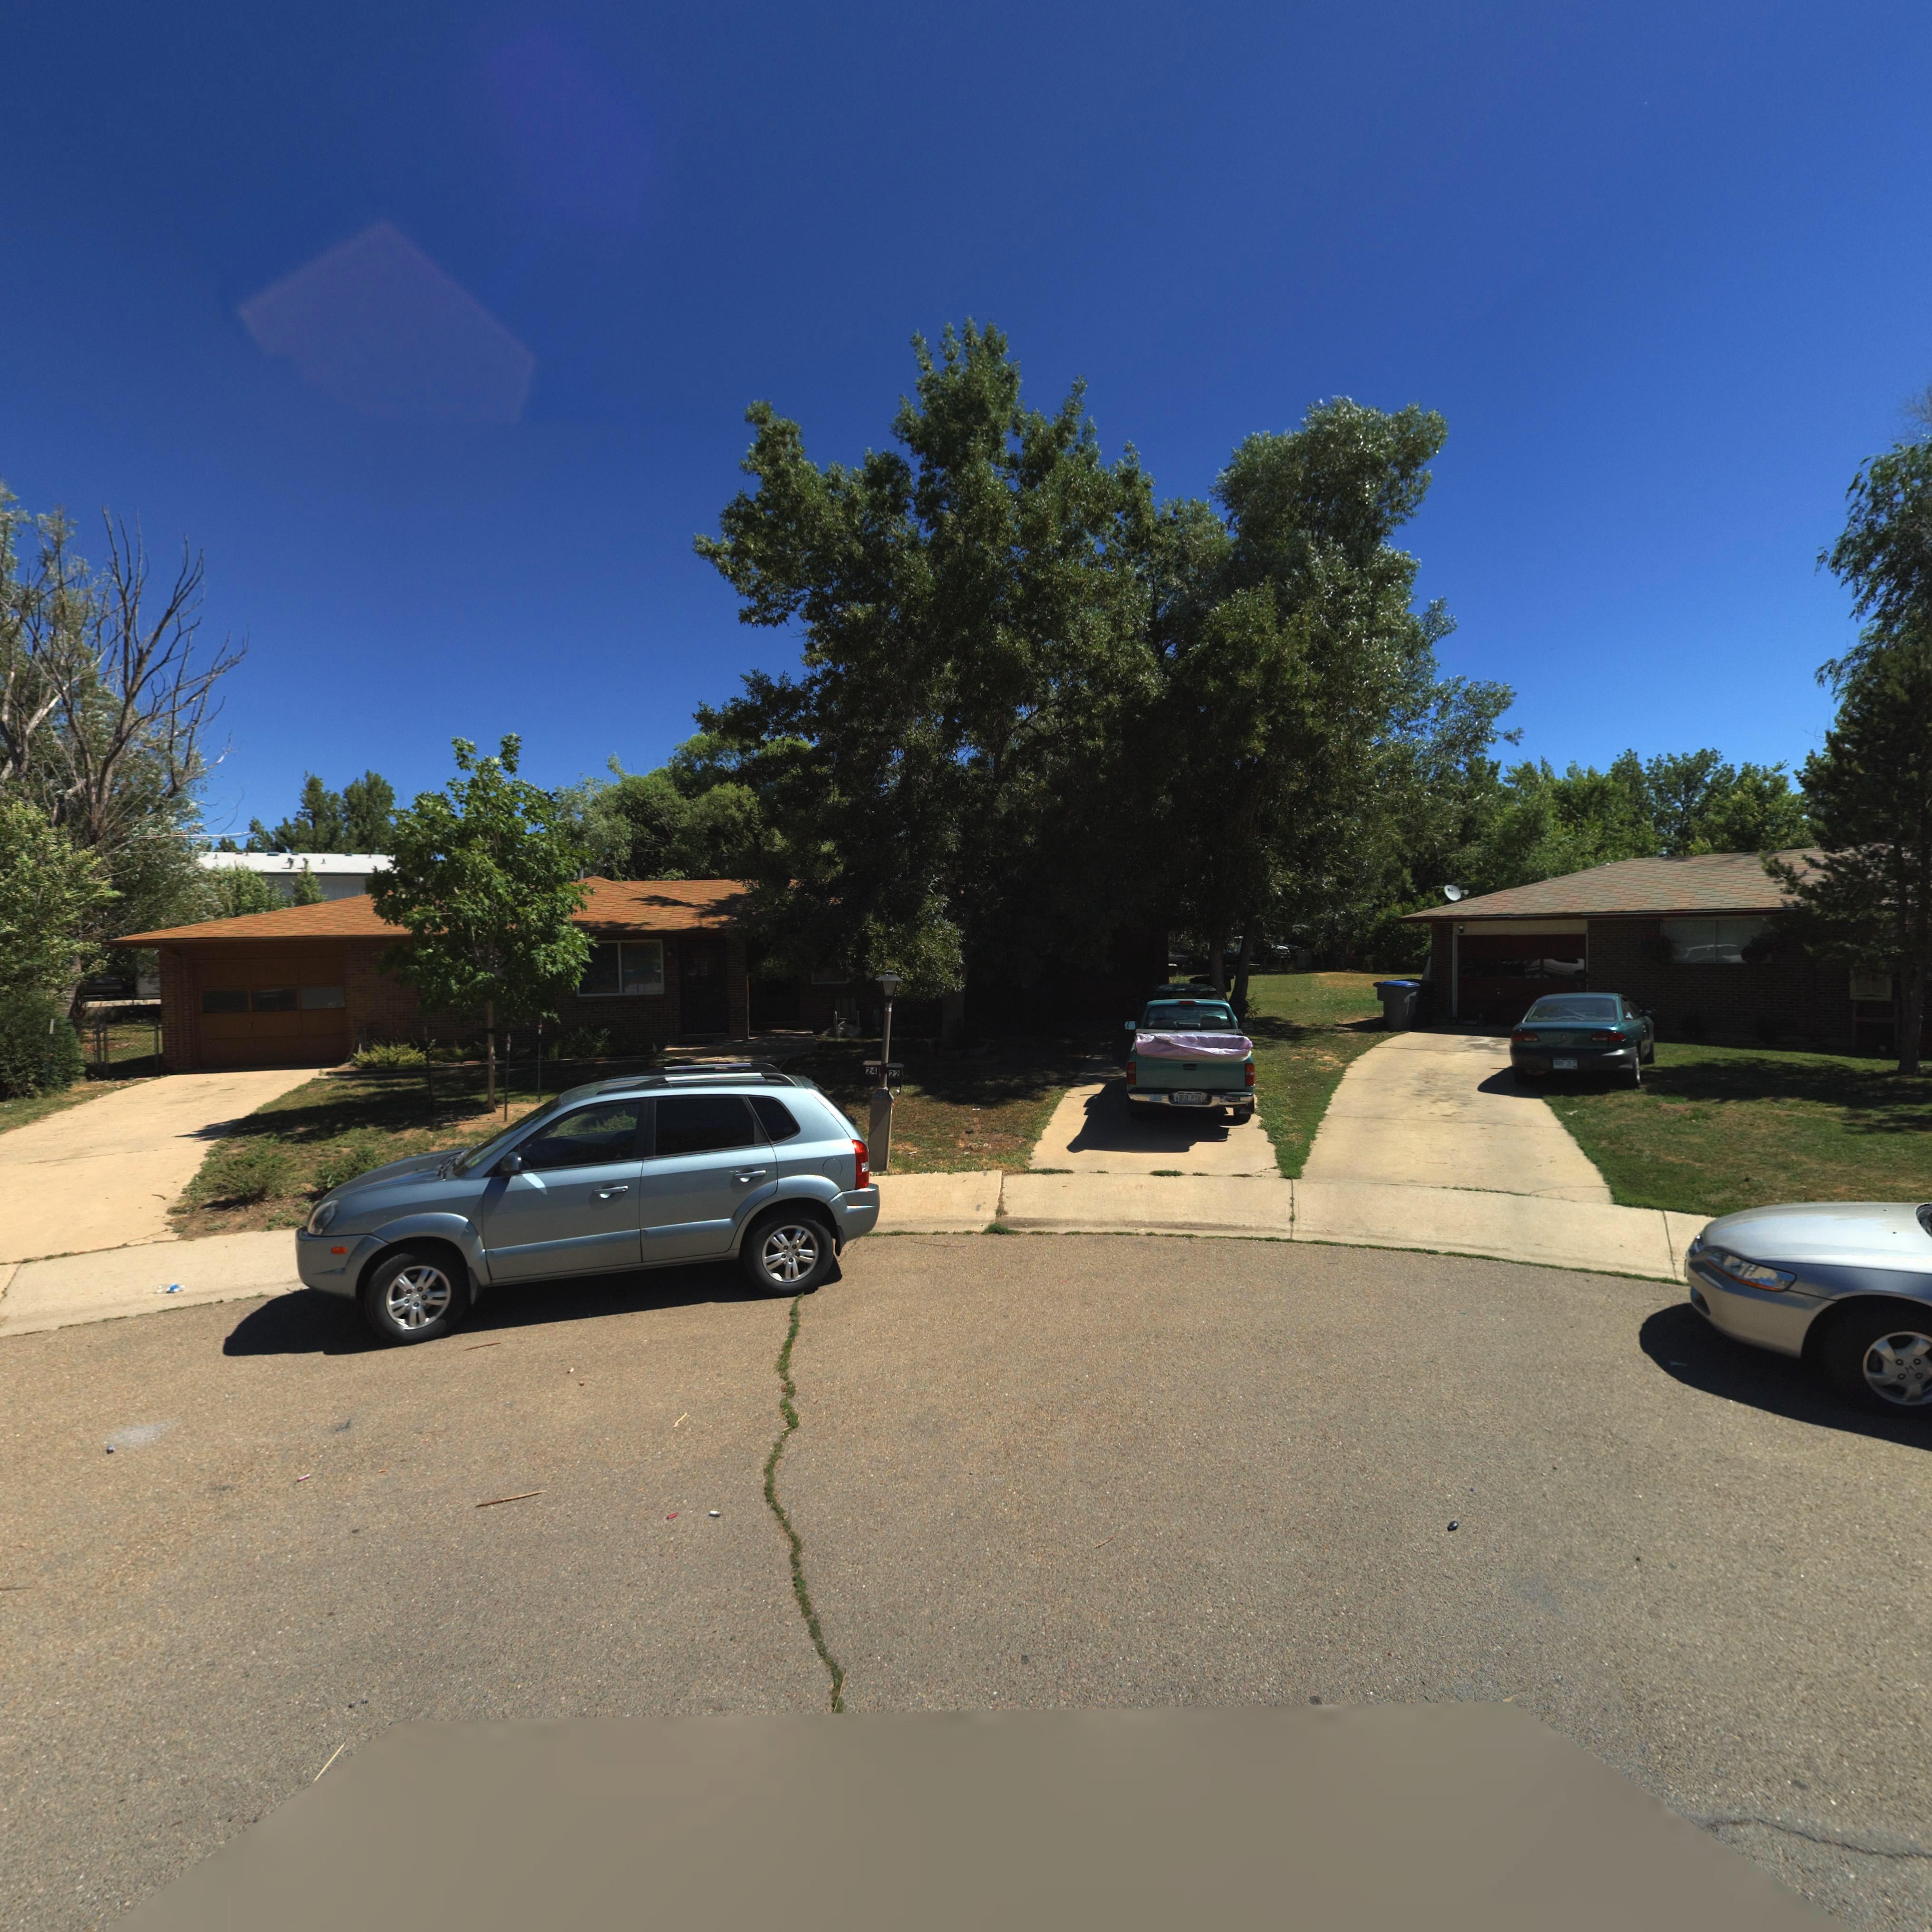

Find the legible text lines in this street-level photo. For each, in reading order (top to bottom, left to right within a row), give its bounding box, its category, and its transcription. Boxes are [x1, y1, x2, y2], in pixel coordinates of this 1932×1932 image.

[866, 1067, 876, 1074] StreetNumber: 24
[889, 1070, 899, 1077] StreetNumber: 22